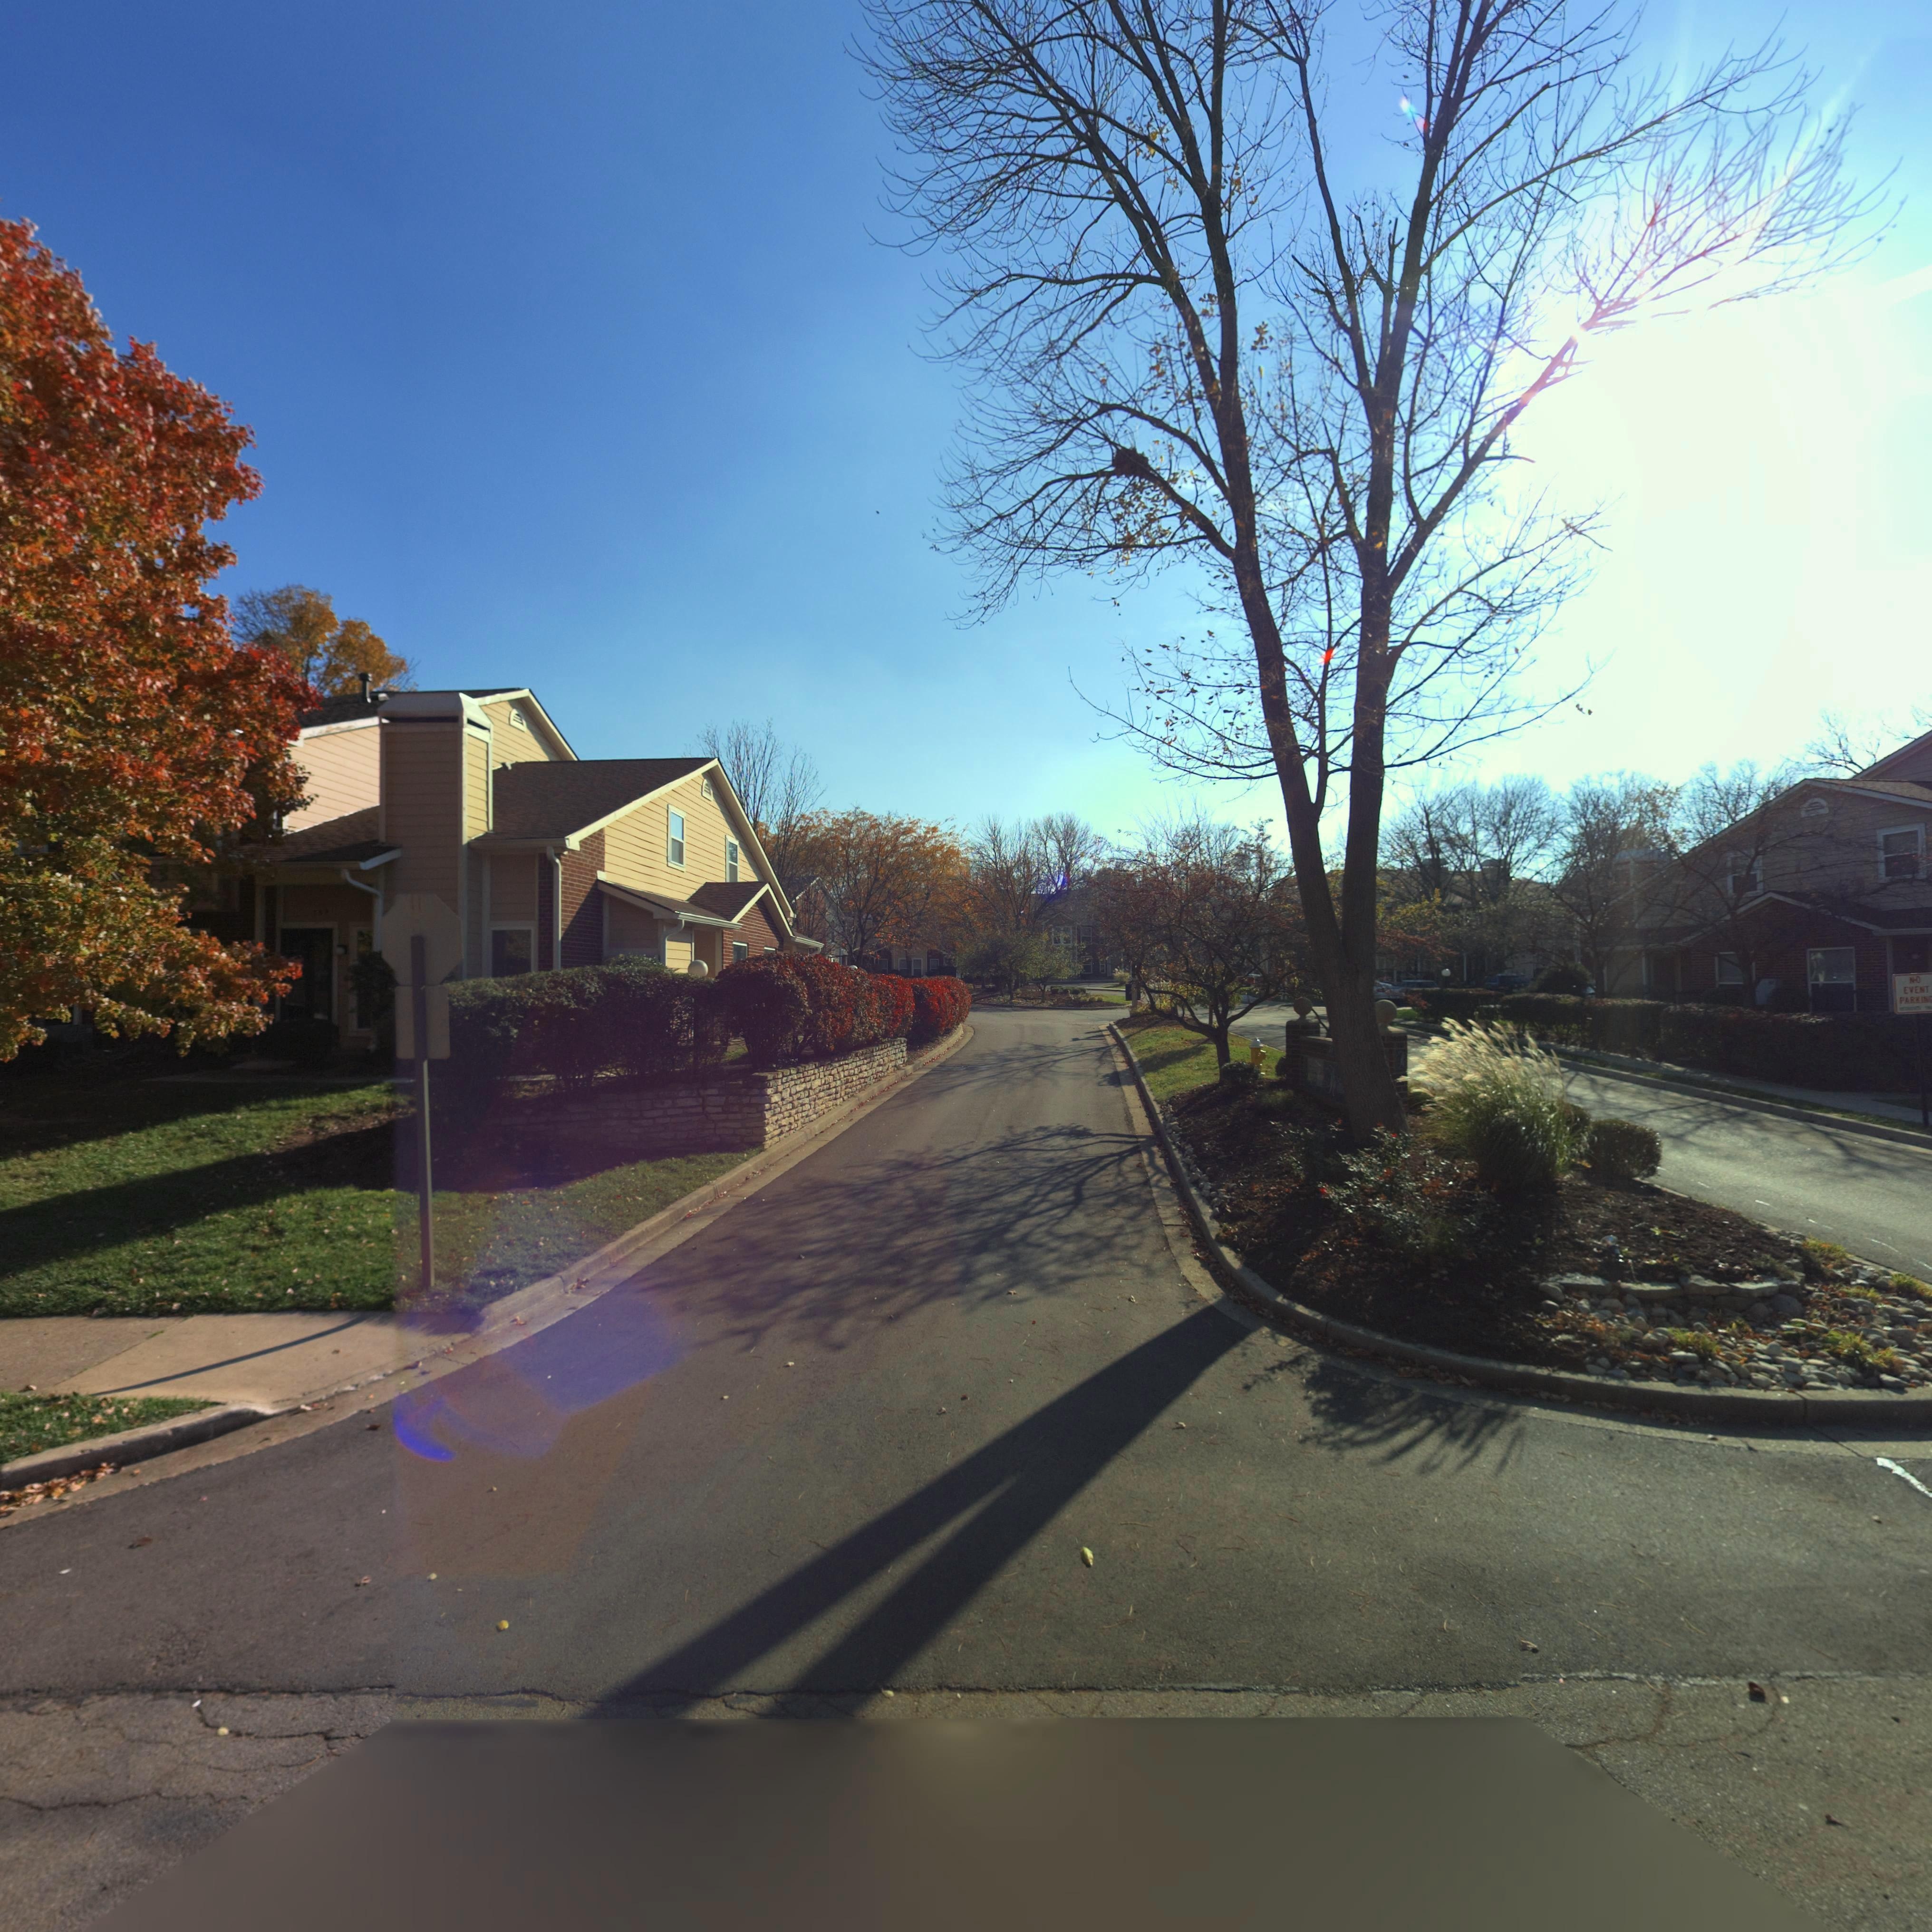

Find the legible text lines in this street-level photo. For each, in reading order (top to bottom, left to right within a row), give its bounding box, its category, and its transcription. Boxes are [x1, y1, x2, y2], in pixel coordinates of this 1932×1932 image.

[311, 909, 330, 917] StreetNumber: 73*